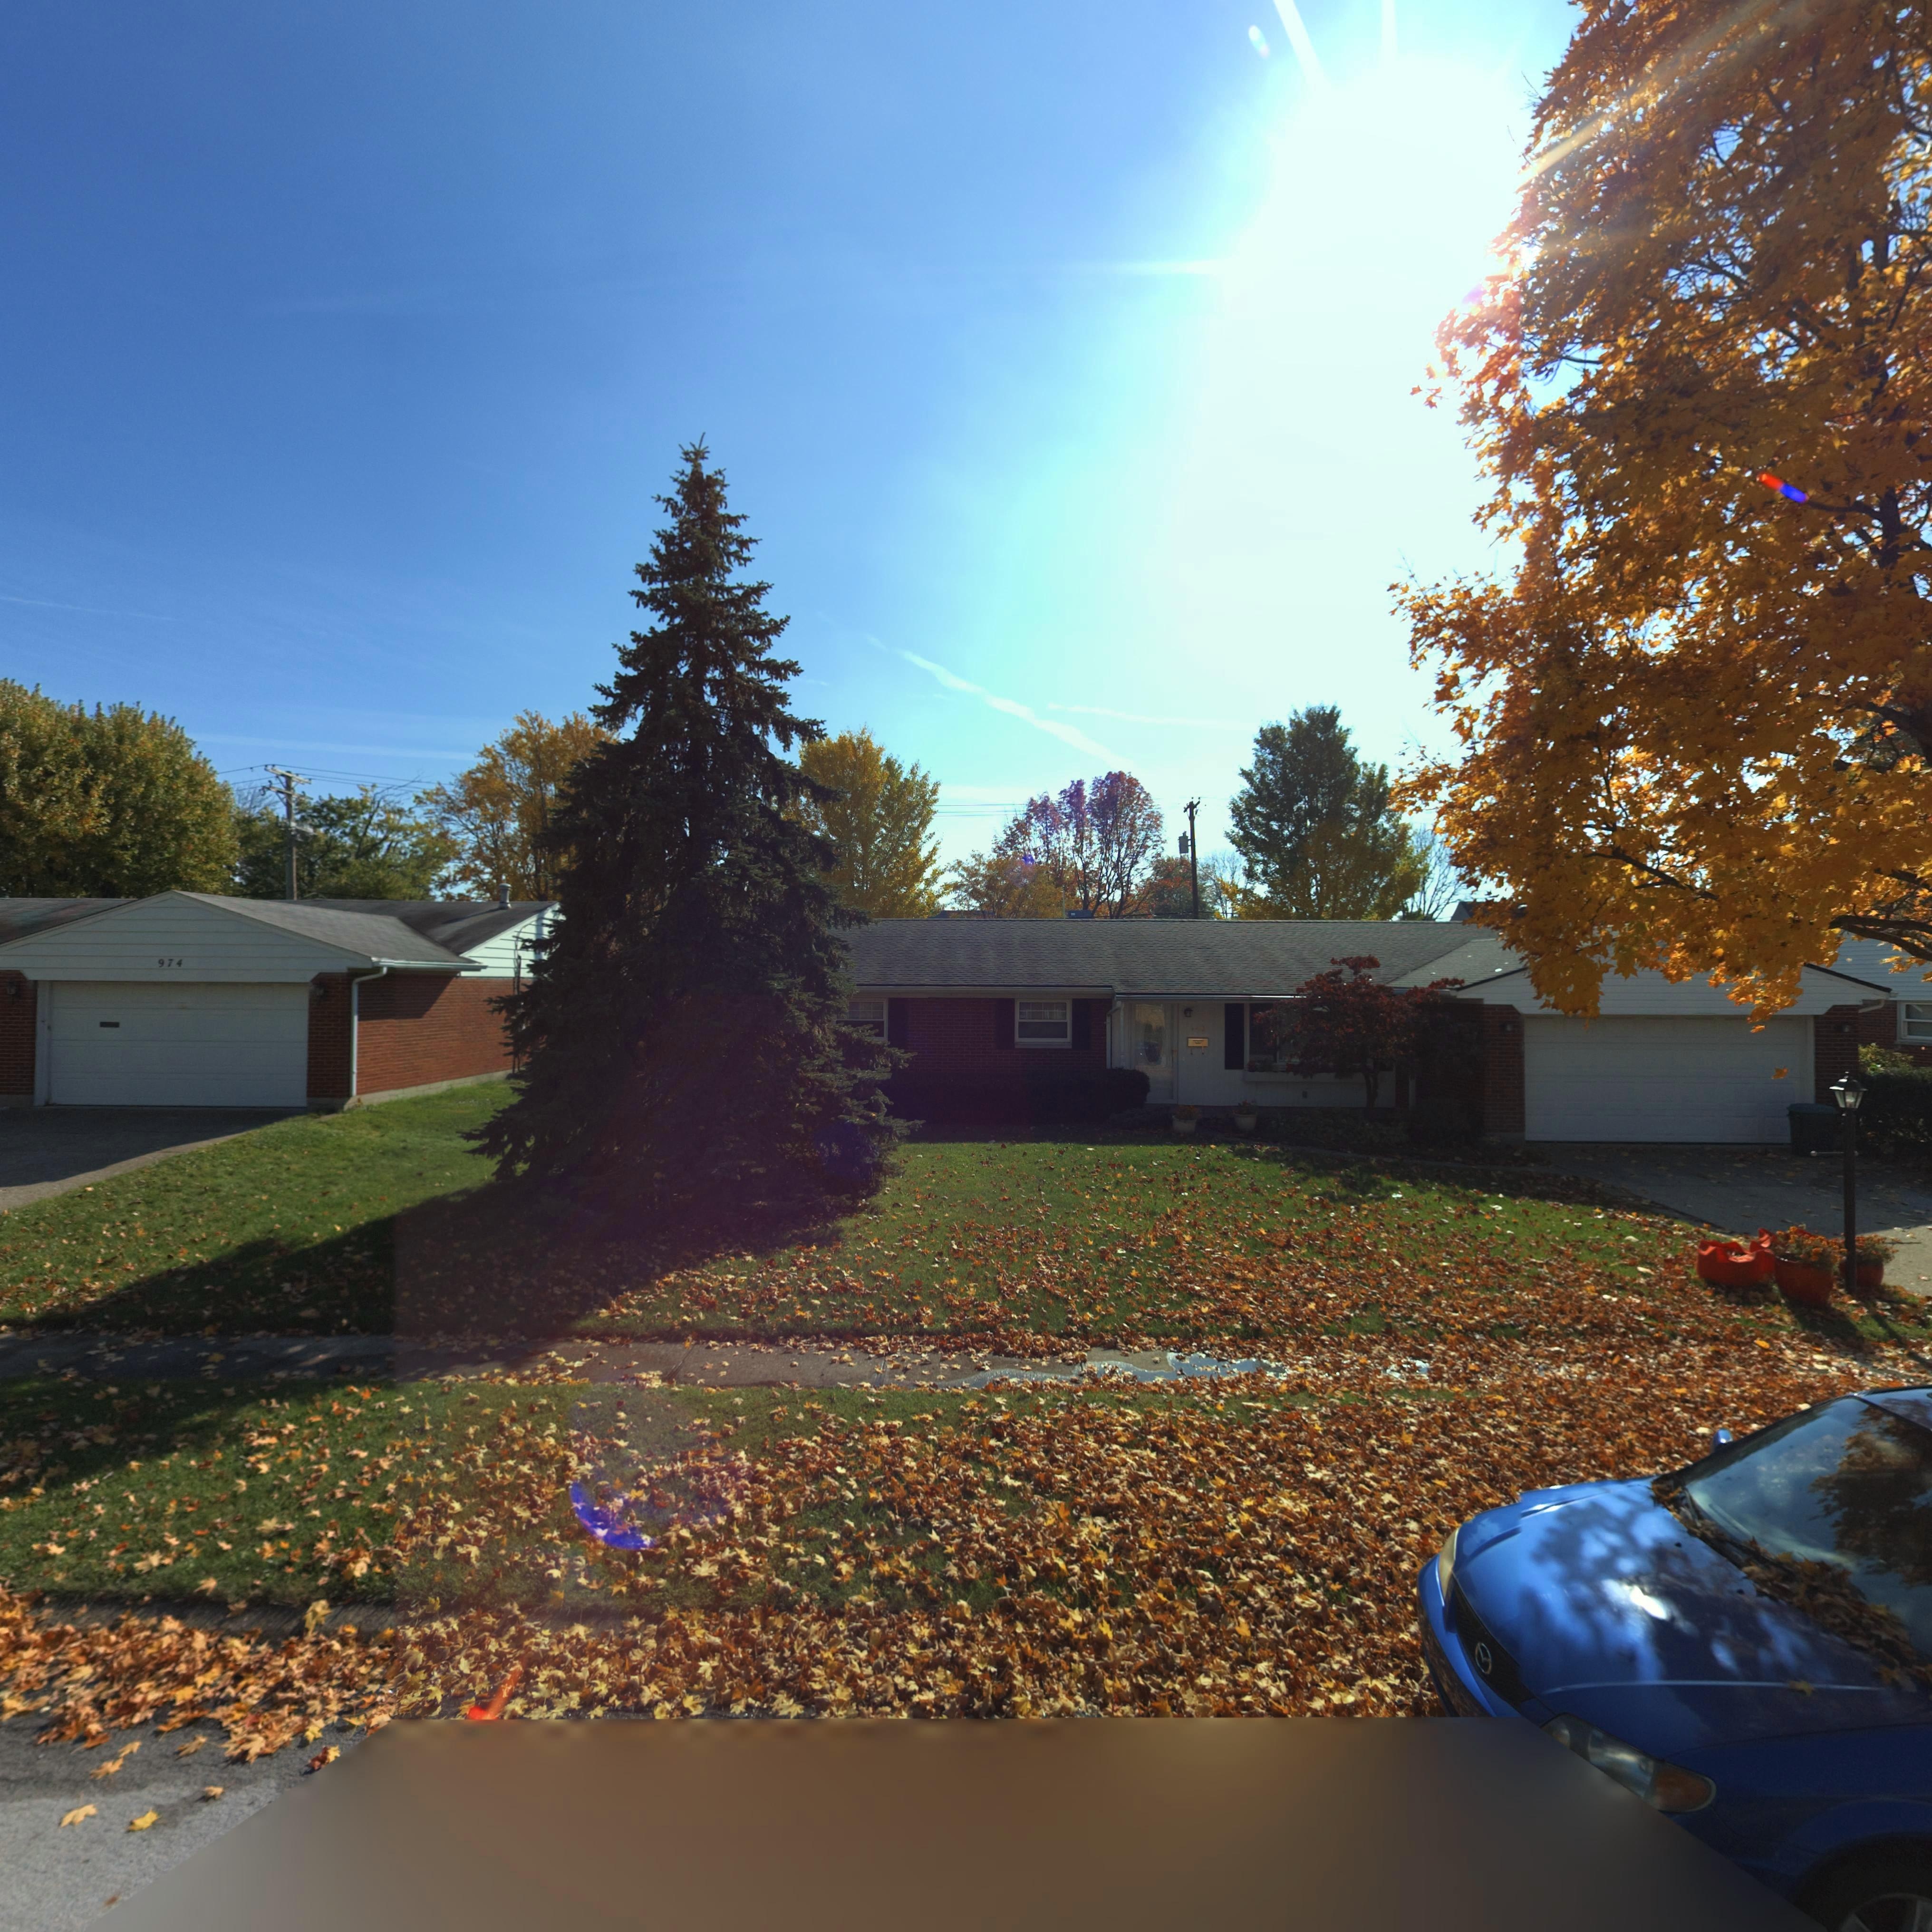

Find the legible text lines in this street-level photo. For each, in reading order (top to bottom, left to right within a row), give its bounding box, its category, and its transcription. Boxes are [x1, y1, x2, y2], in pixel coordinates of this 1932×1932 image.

[157, 958, 184, 968] StreetNumber: 974